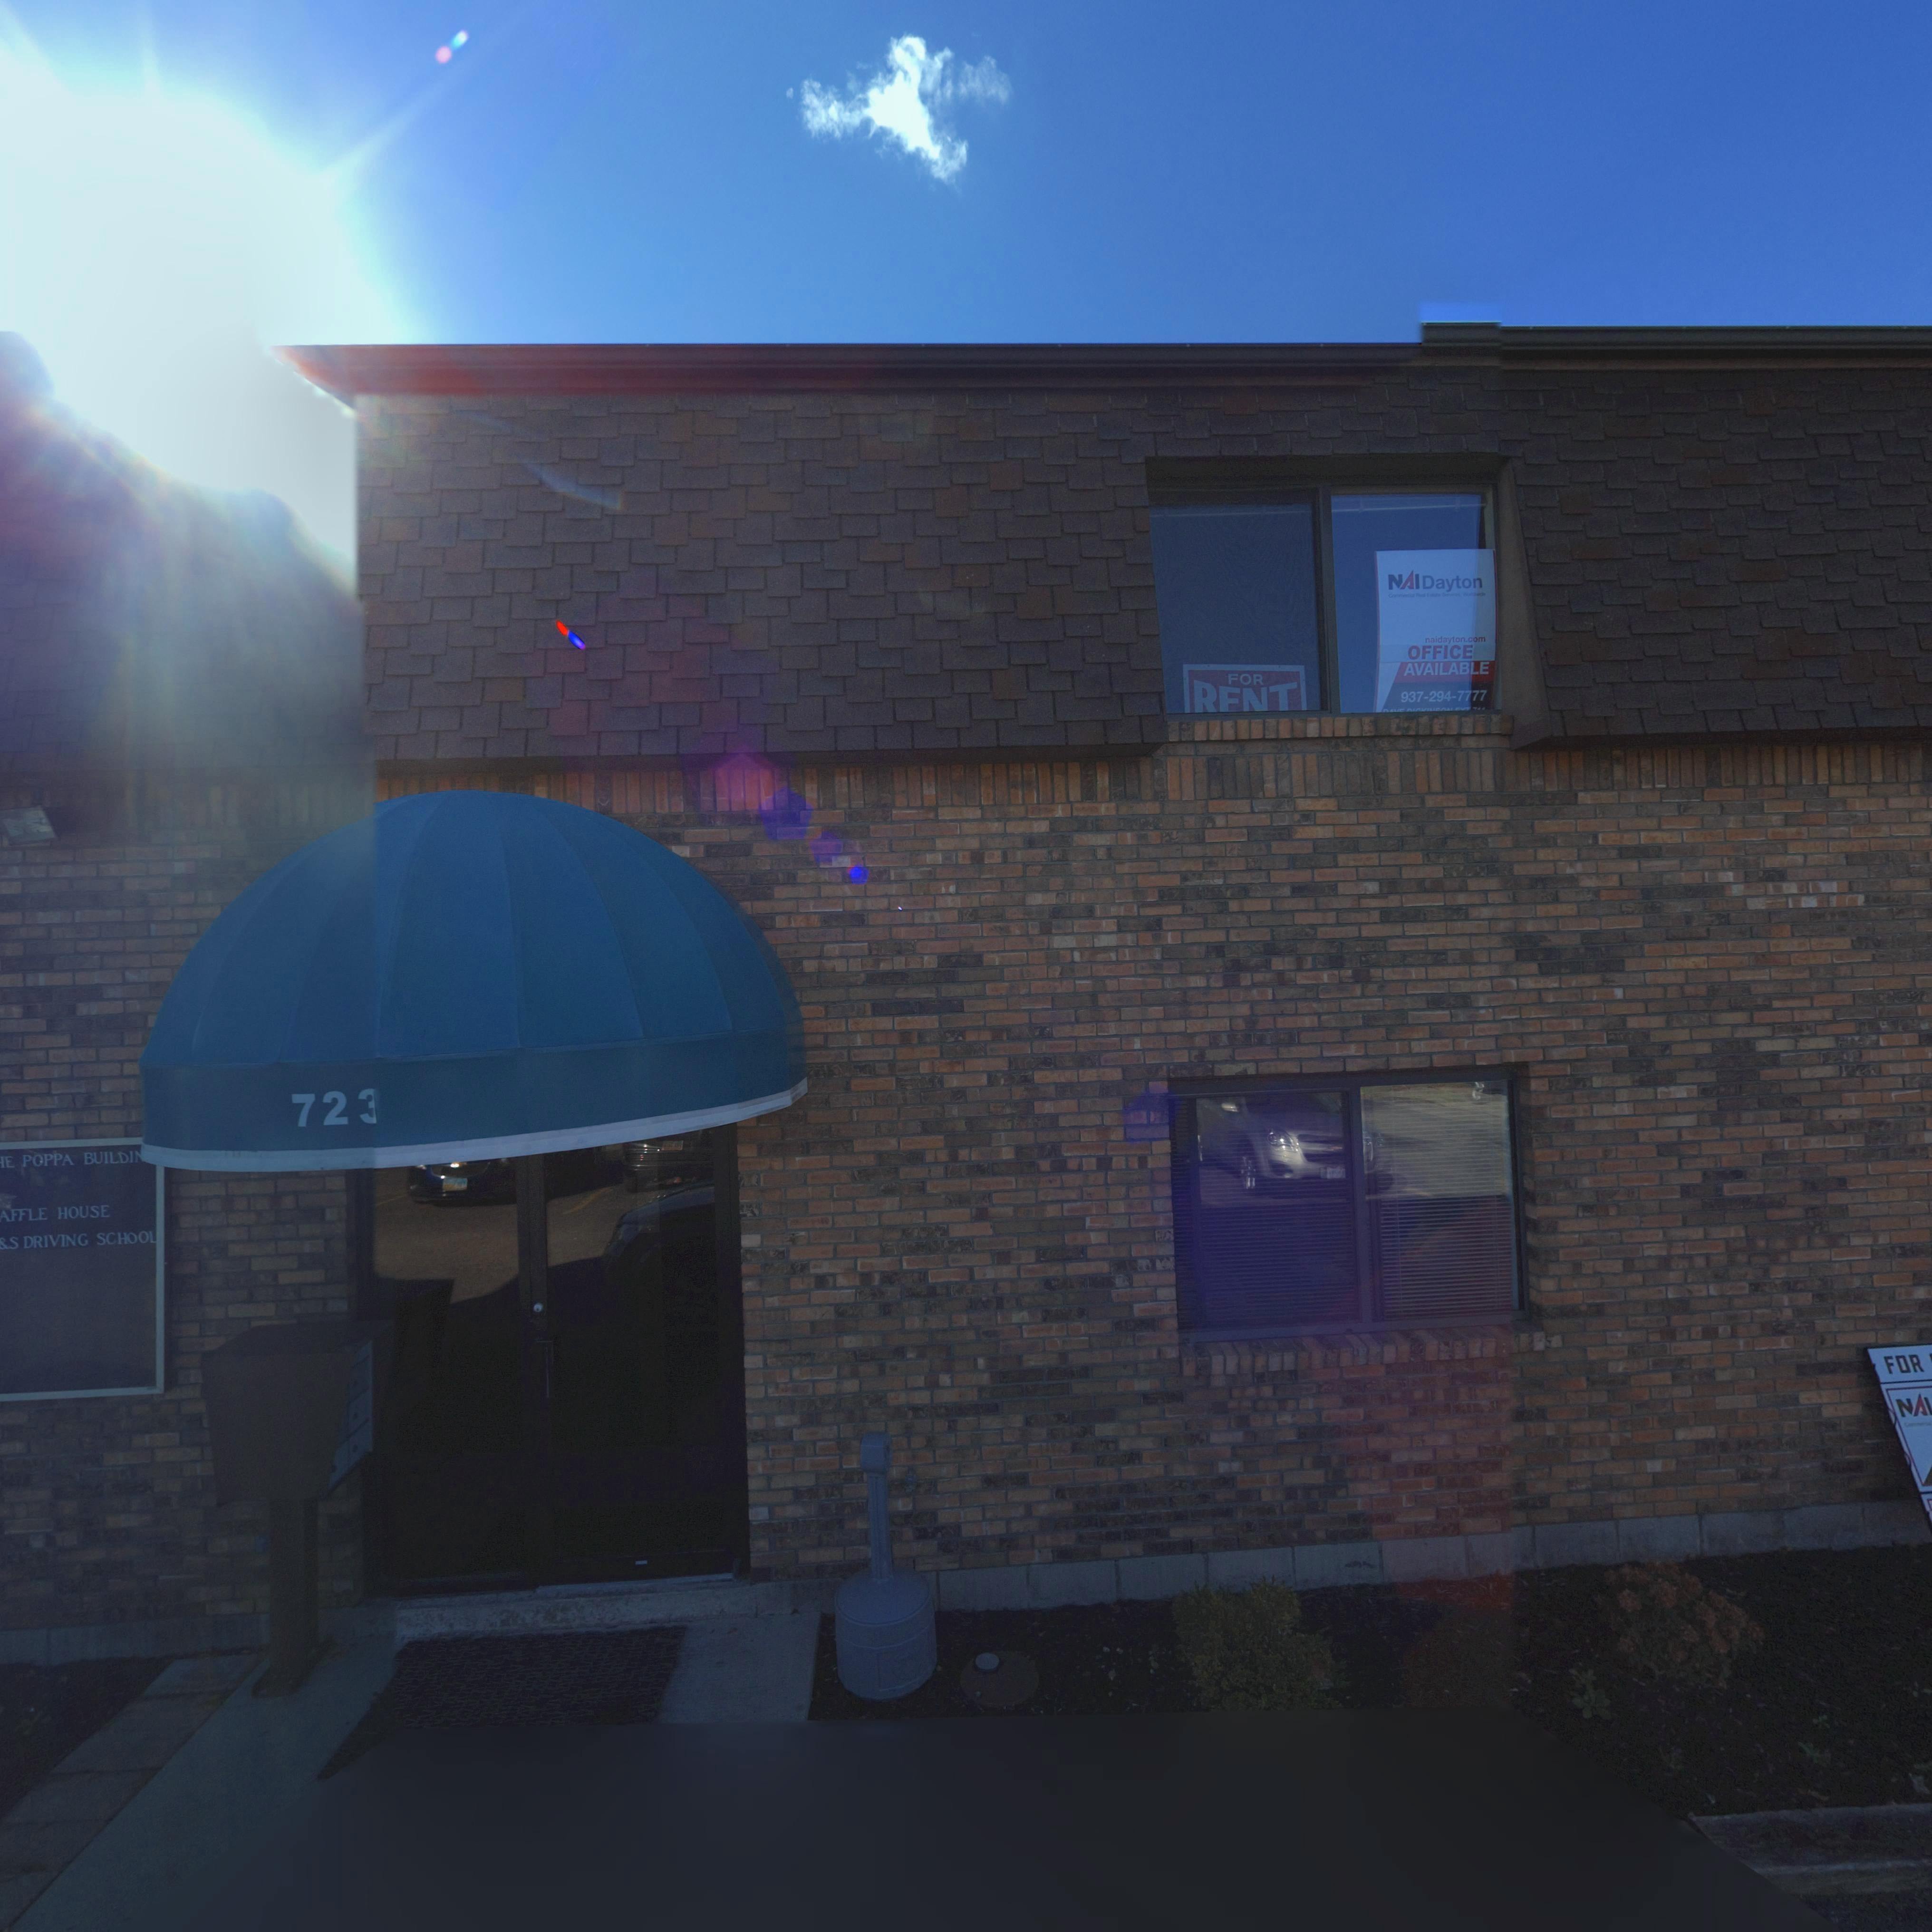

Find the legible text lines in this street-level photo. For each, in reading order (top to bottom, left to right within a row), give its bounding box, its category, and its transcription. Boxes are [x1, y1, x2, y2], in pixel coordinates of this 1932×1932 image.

[290, 1089, 350, 1128] StreetNumber: 72
[10, 1203, 111, 1223] BusinessName: FFLE HOUSE
[8, 1230, 158, 1250] BusinessName: S DRIVING SCHOOL